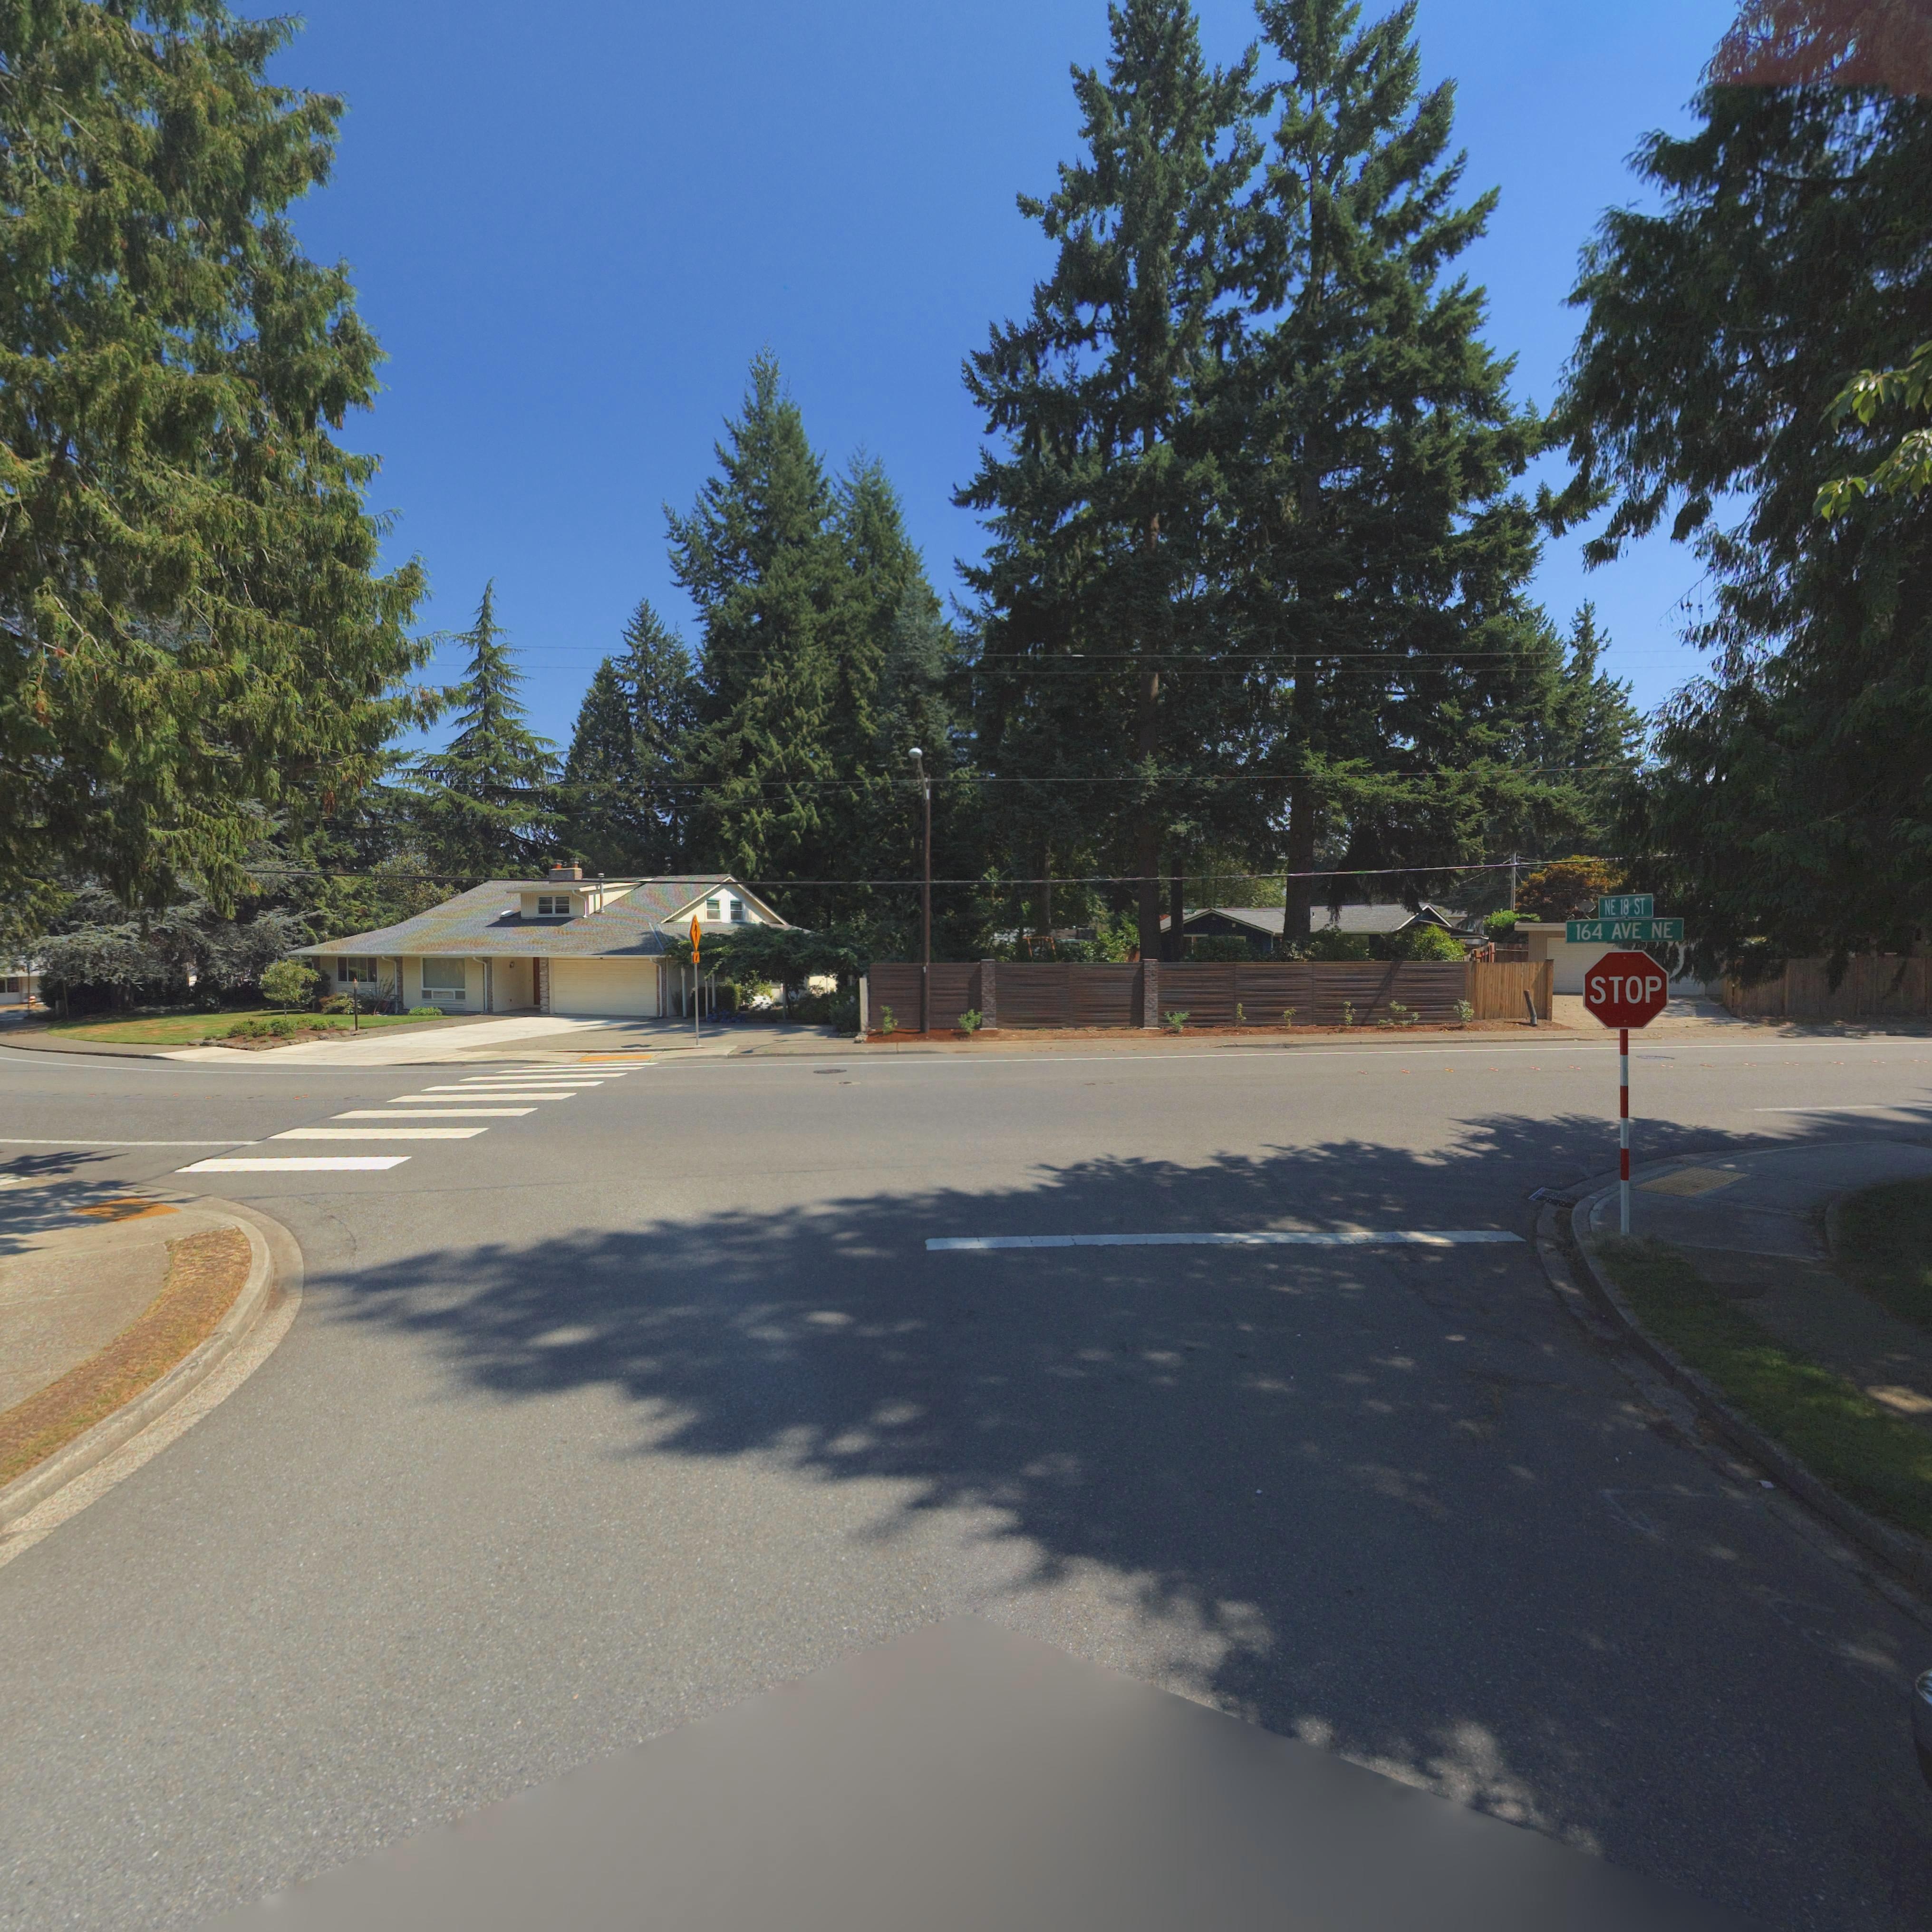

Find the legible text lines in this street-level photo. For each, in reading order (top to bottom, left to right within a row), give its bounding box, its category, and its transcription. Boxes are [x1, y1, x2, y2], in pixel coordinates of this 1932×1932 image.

[1604, 896, 1645, 916] StreetNumber: NE 18 ST
[1575, 921, 1674, 941] StreetNumber: 164 AVE NE